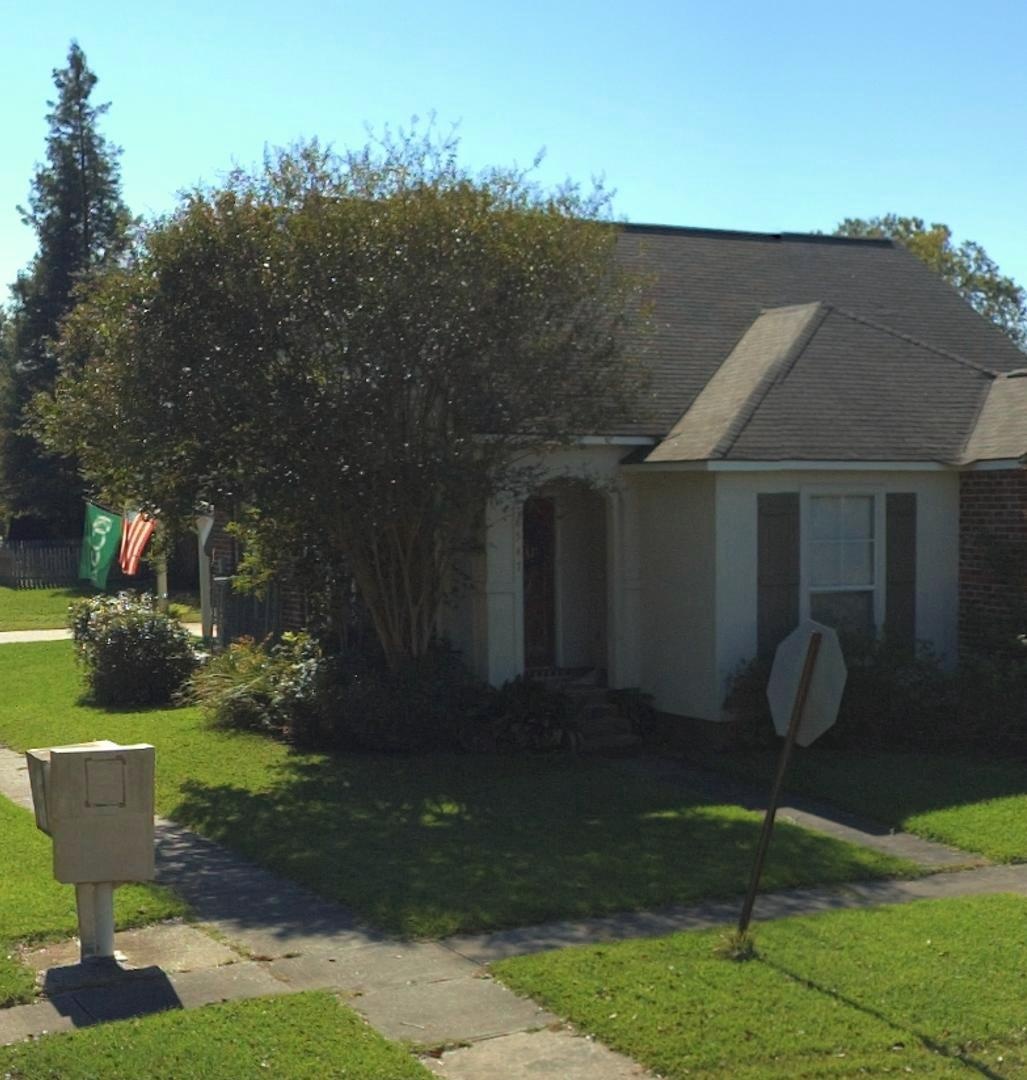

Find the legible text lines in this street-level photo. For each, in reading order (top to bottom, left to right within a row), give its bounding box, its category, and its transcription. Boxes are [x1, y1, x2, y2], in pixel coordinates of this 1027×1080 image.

[515, 504, 525, 573] StreetNumber: 8547